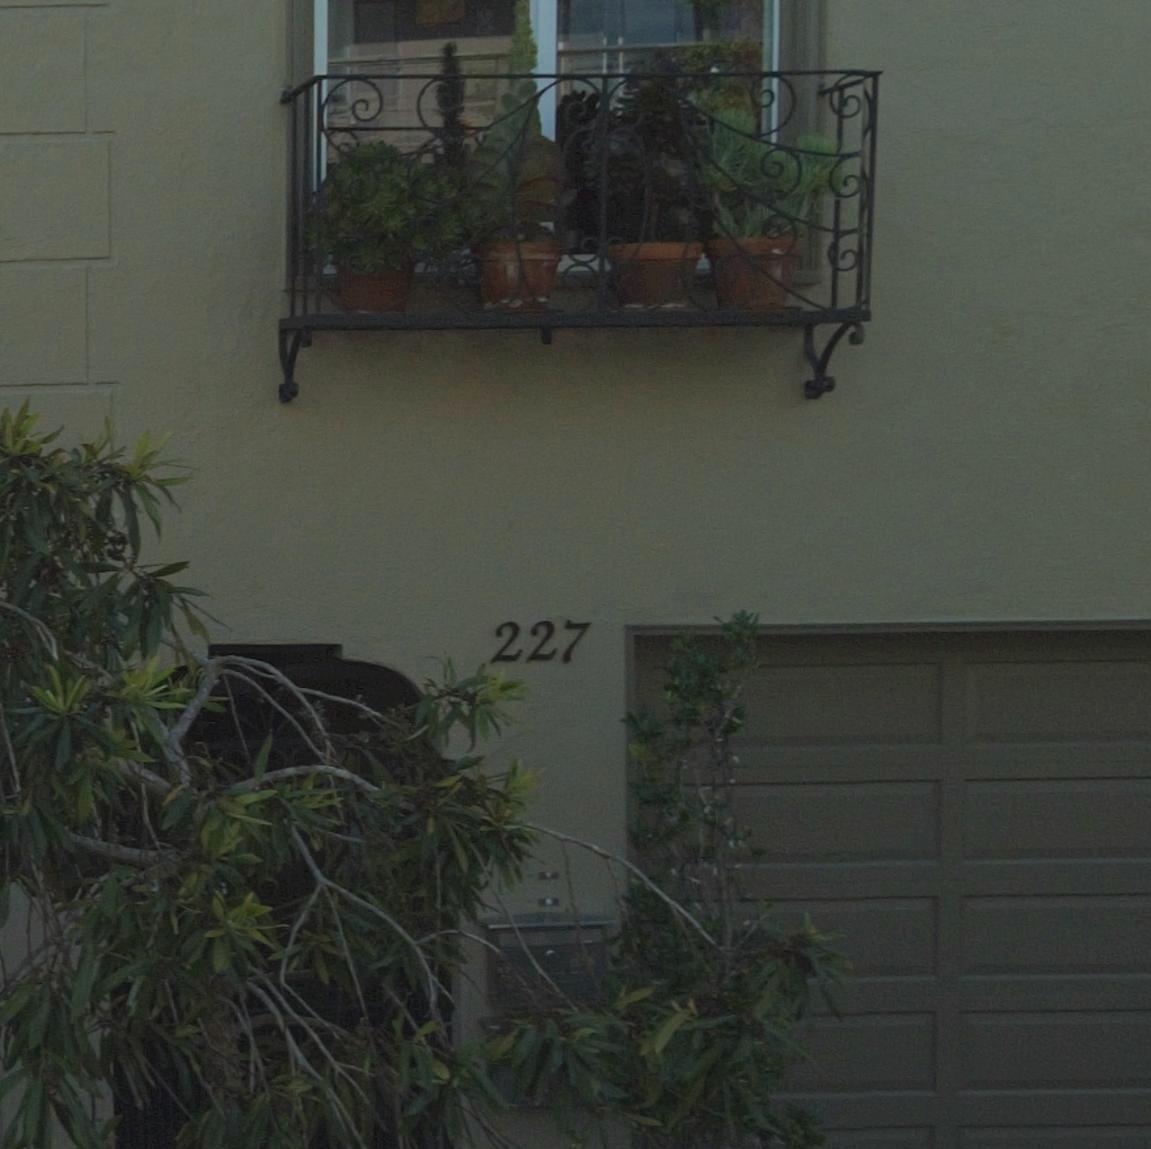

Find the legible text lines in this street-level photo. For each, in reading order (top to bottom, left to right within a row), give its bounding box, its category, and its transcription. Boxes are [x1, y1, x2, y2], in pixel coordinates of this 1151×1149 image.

[487, 617, 593, 667] StreetNumber: 227